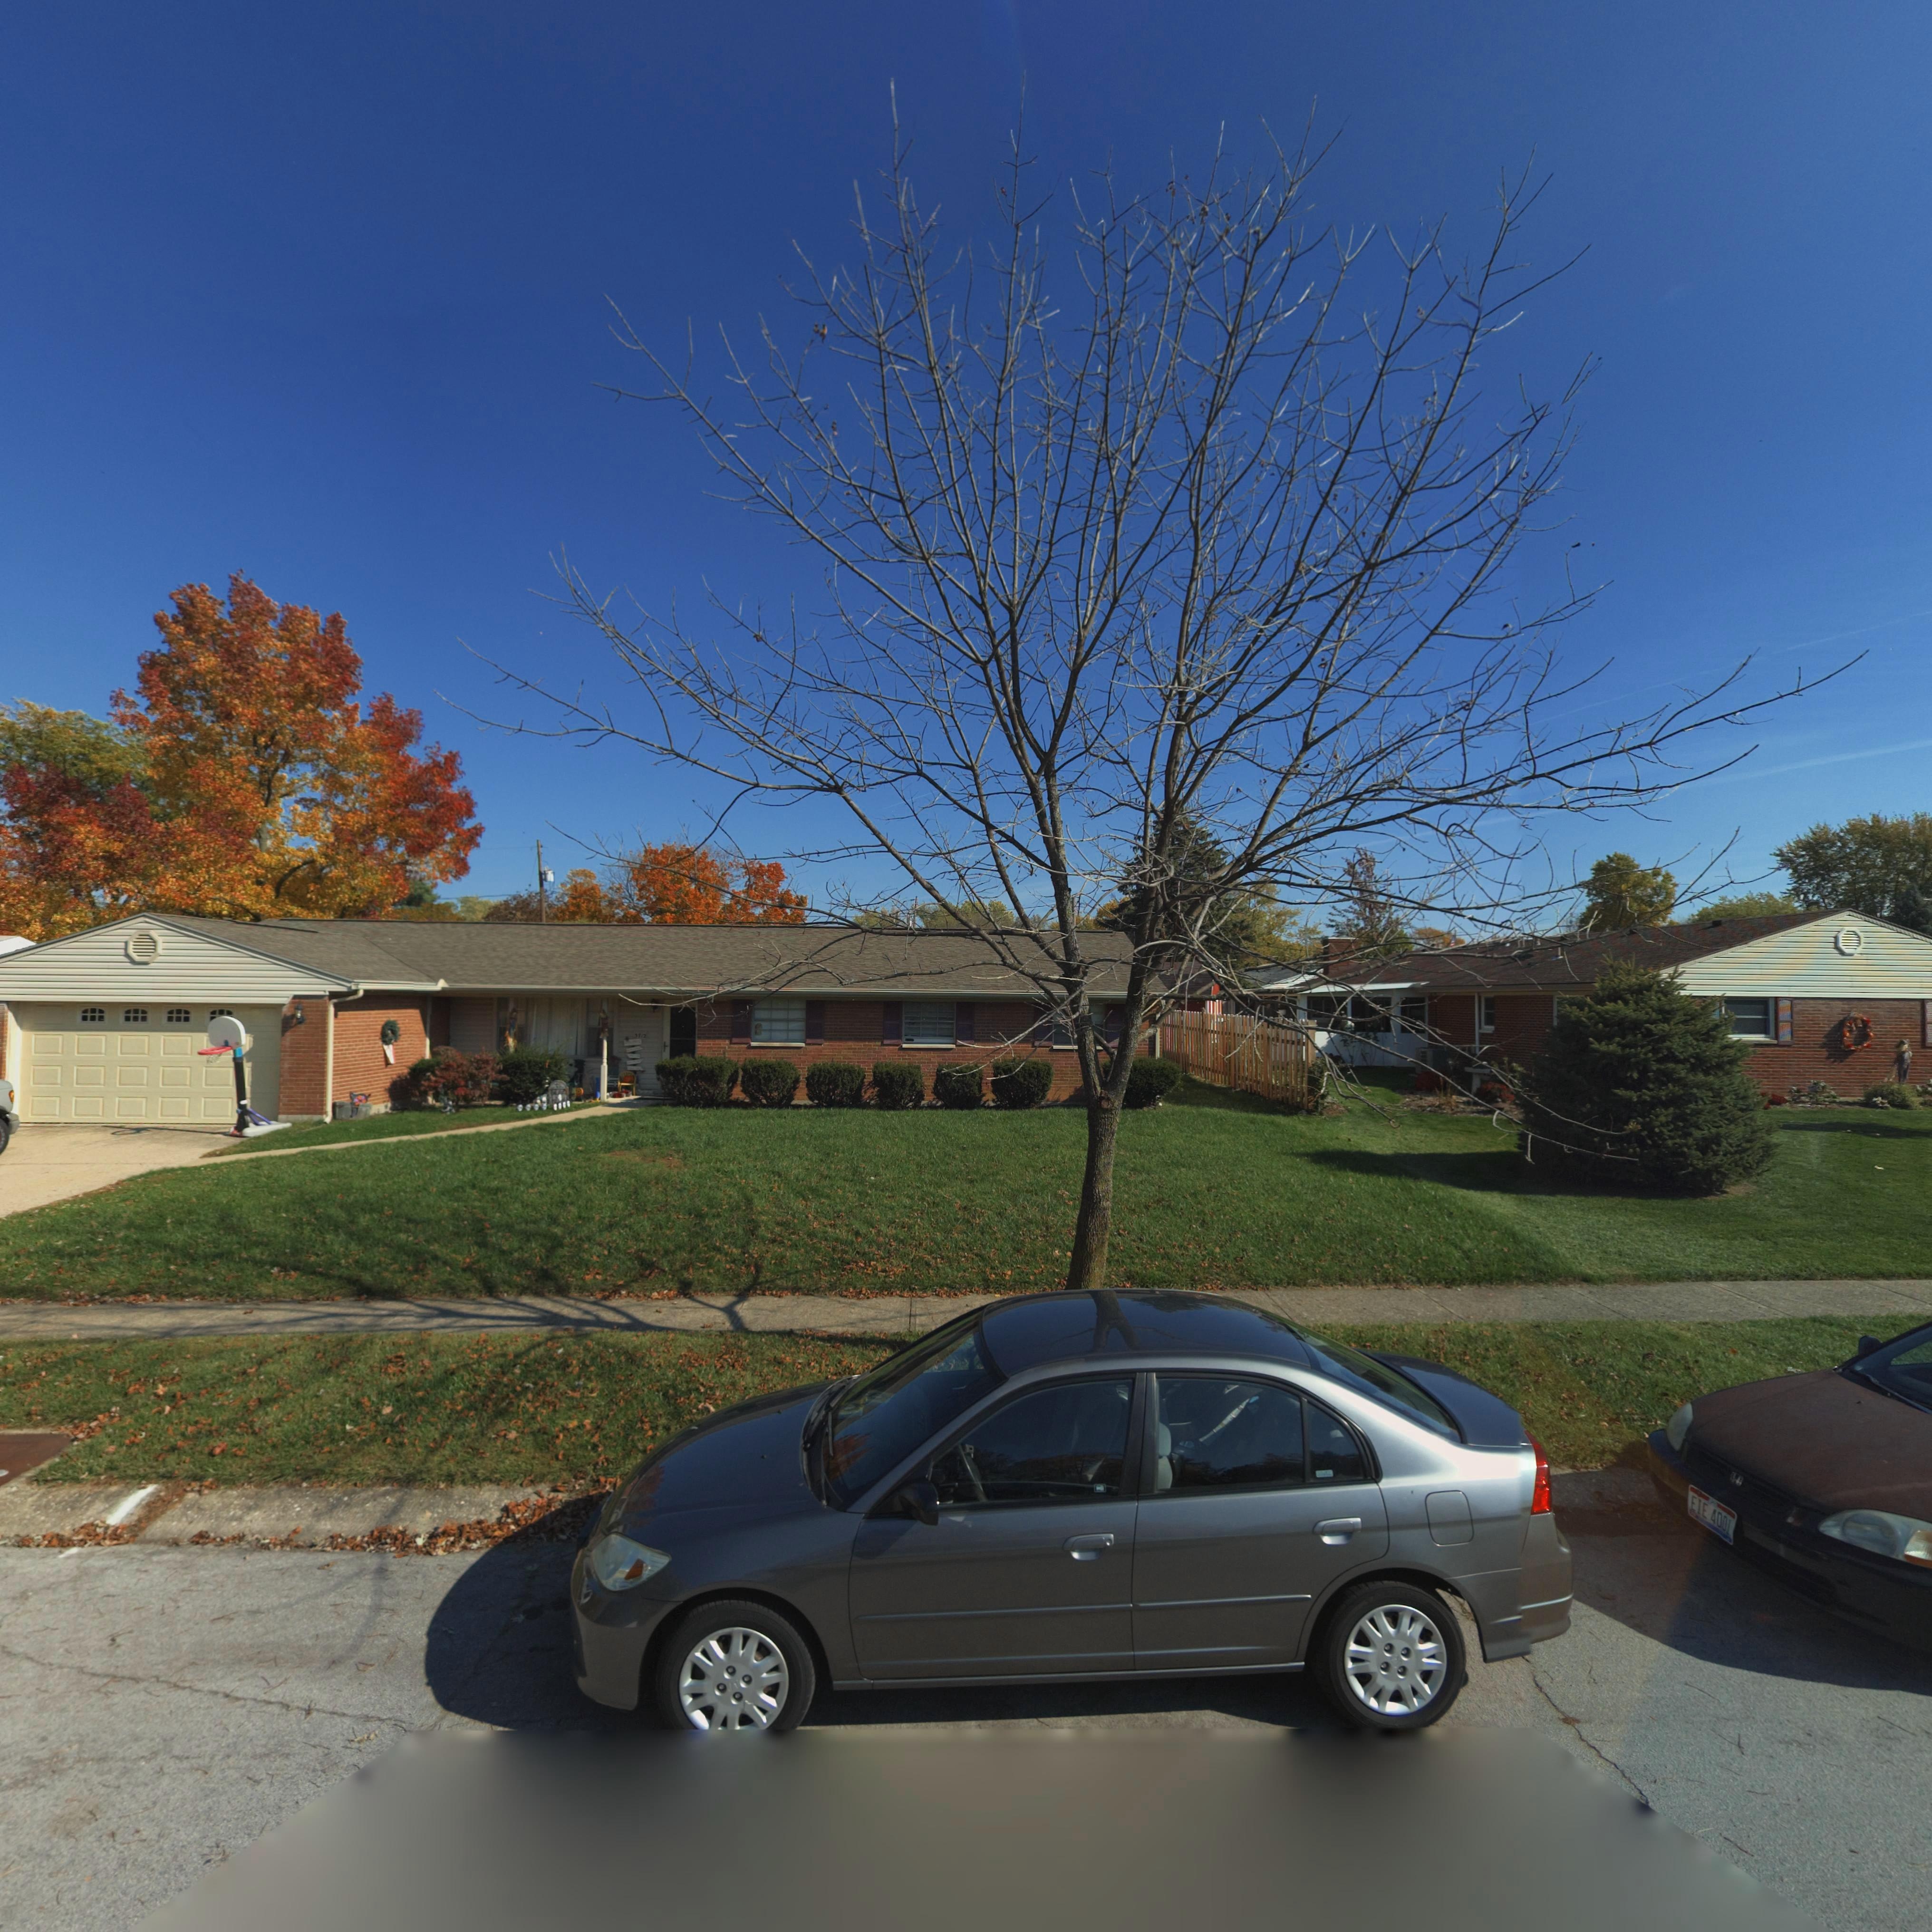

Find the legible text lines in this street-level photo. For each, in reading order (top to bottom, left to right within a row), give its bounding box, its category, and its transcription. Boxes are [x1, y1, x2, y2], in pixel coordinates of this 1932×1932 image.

[633, 1032, 647, 1039] StreetNumber: 3712
[1690, 1492, 1734, 1537] None: EIE 4001